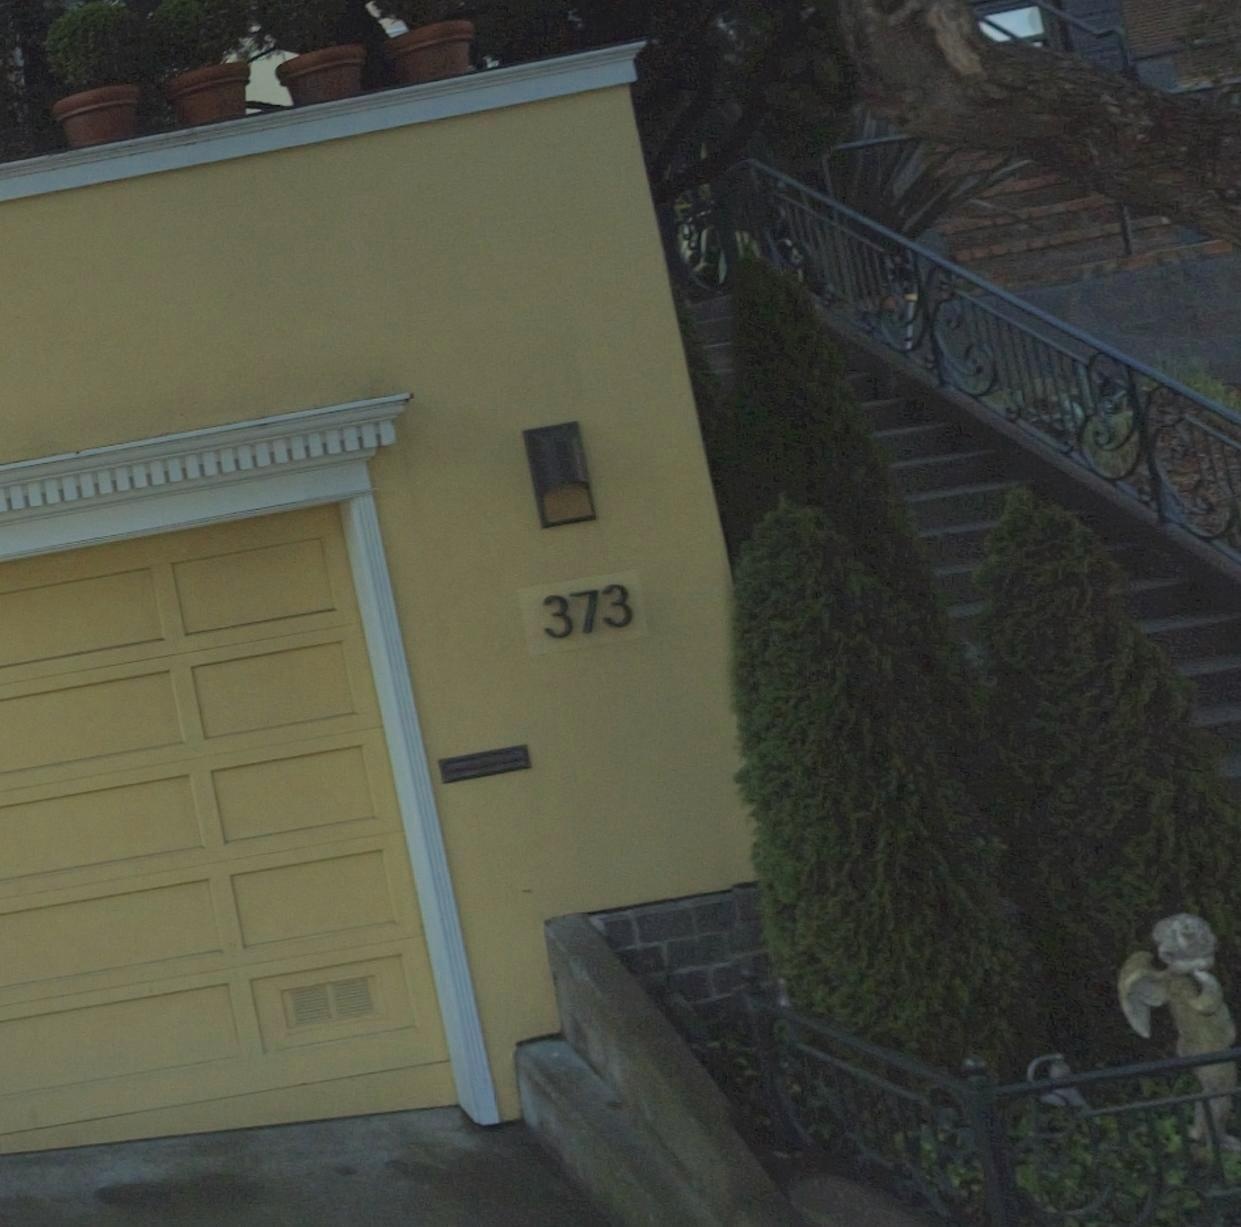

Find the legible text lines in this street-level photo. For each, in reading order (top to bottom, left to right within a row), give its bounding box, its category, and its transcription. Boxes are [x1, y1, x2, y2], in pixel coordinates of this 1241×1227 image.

[539, 581, 636, 642] StreetNumber: 373